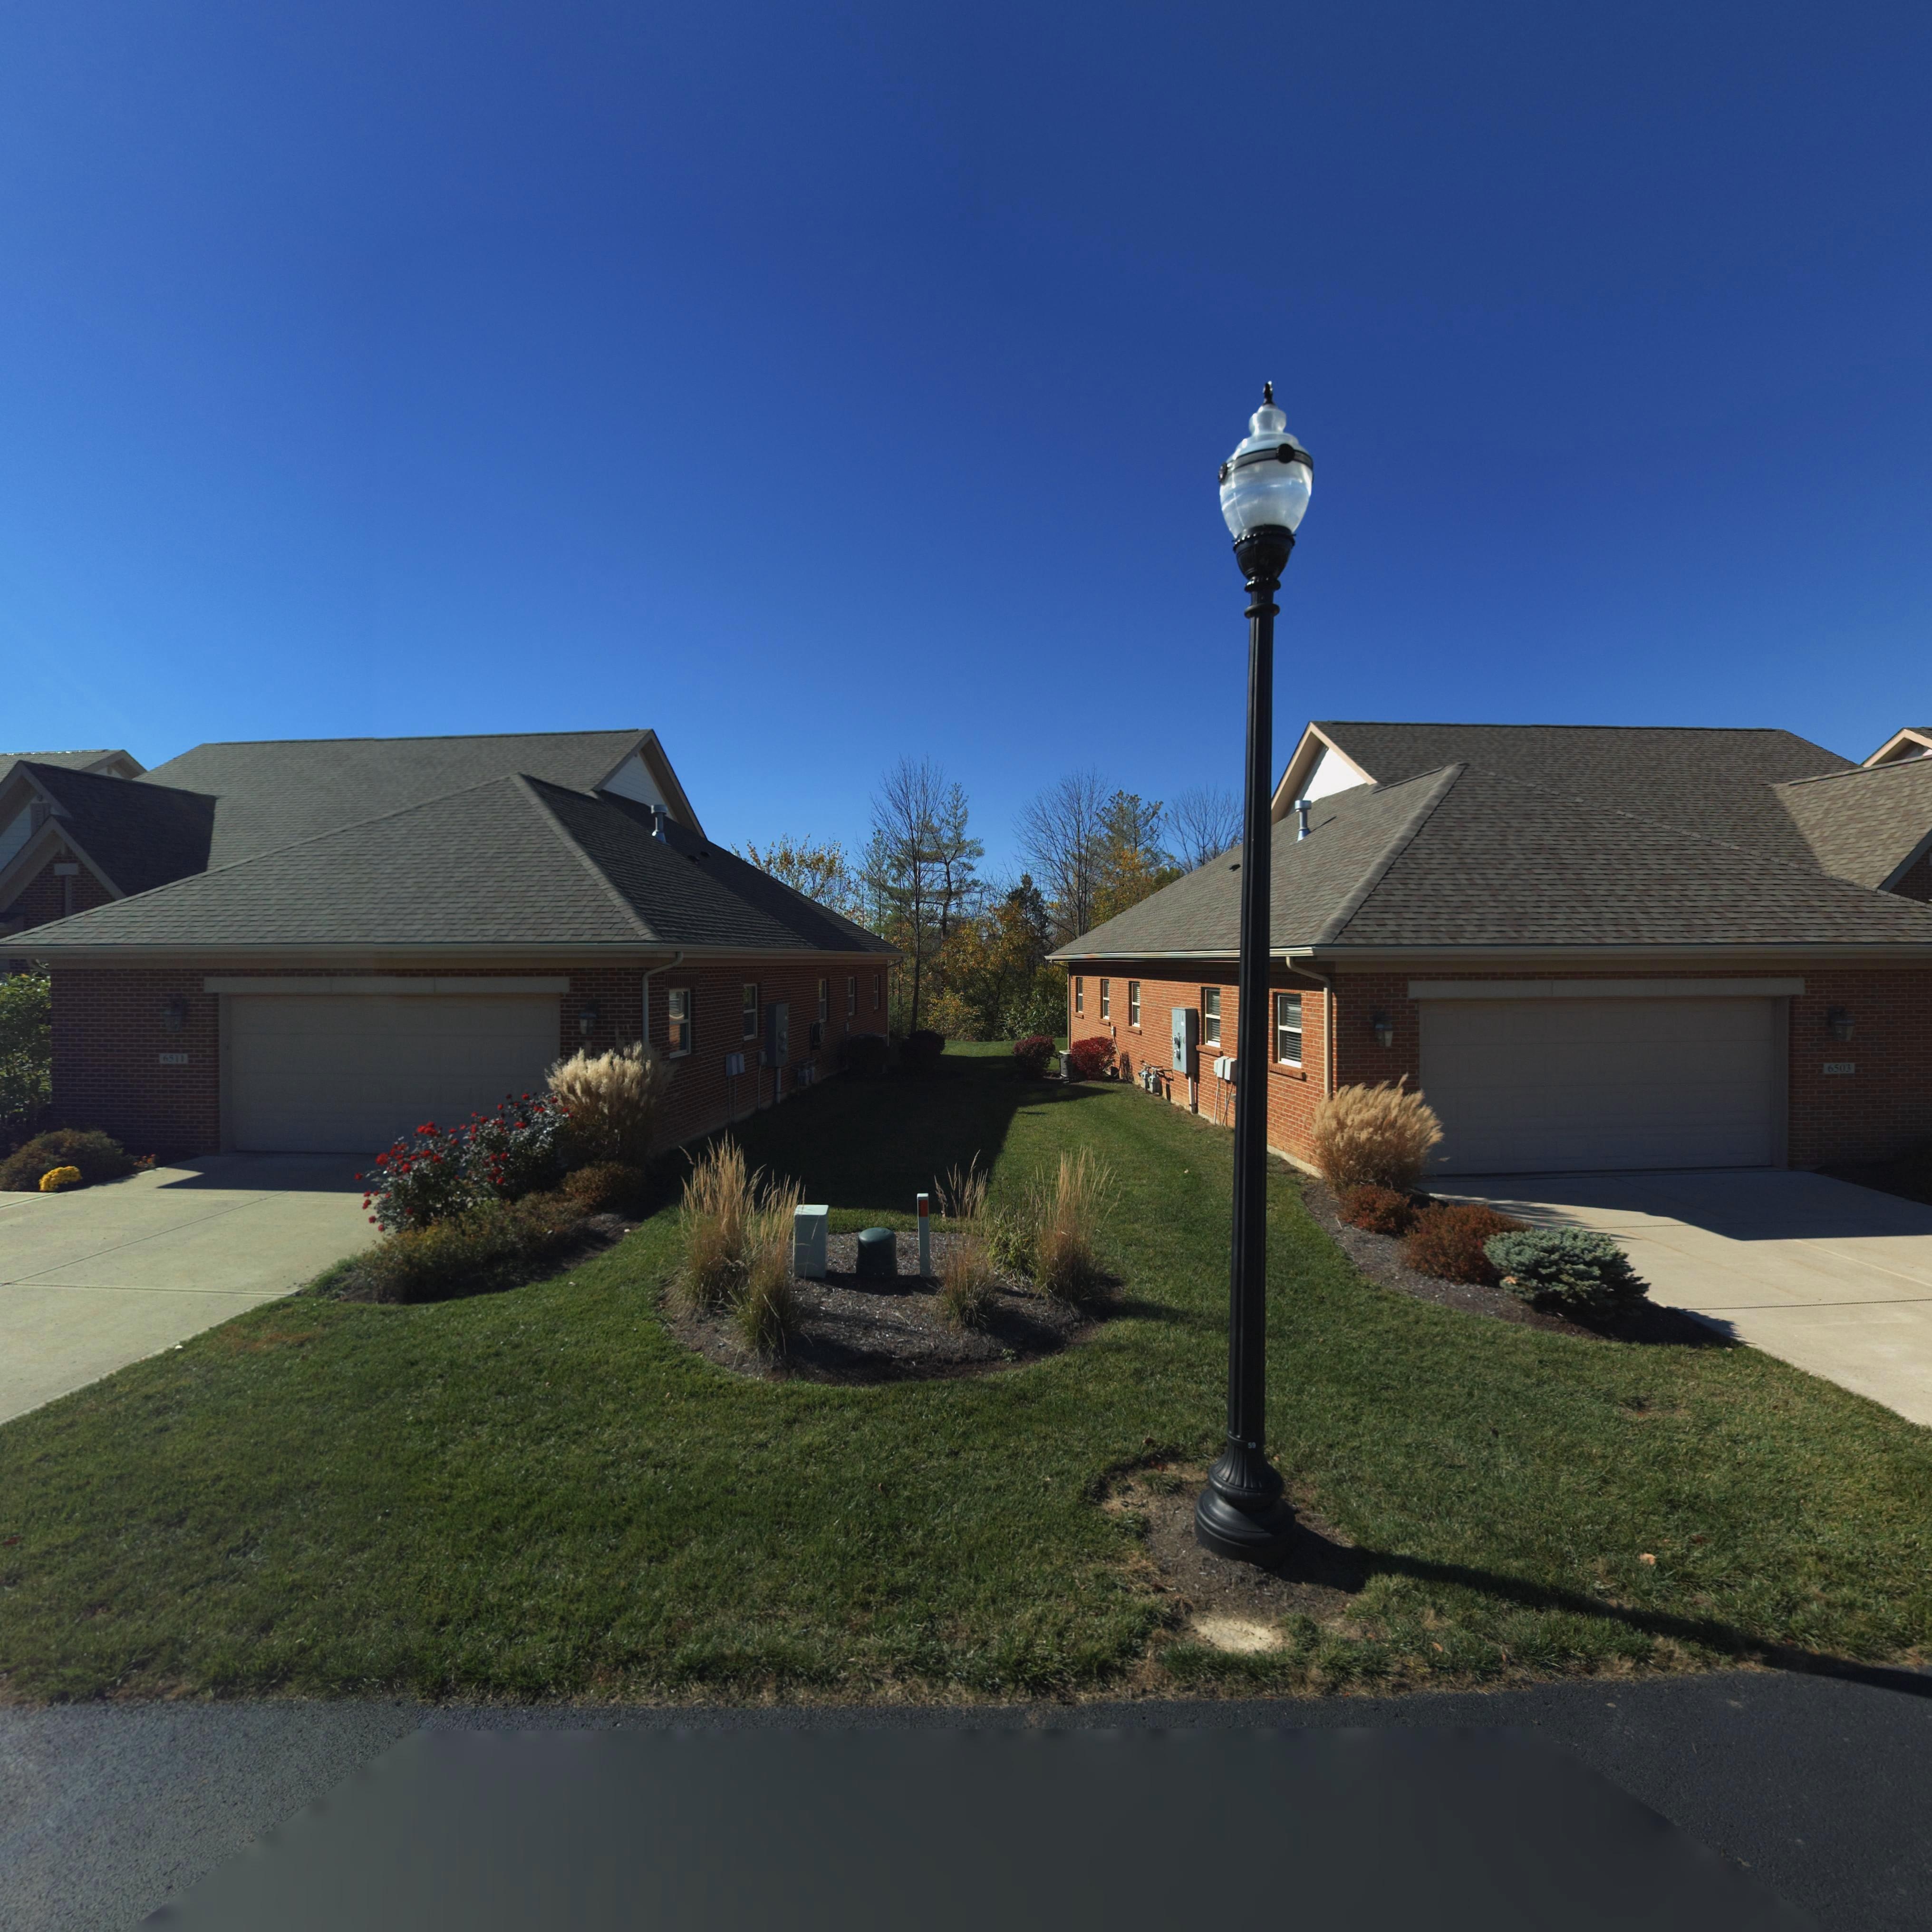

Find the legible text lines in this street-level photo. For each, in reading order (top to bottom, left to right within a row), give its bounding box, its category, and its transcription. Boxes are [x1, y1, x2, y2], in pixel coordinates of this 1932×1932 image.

[162, 1054, 184, 1063] StreetNumber: 6511
[1827, 1063, 1852, 1073] StreetNumber: 6503